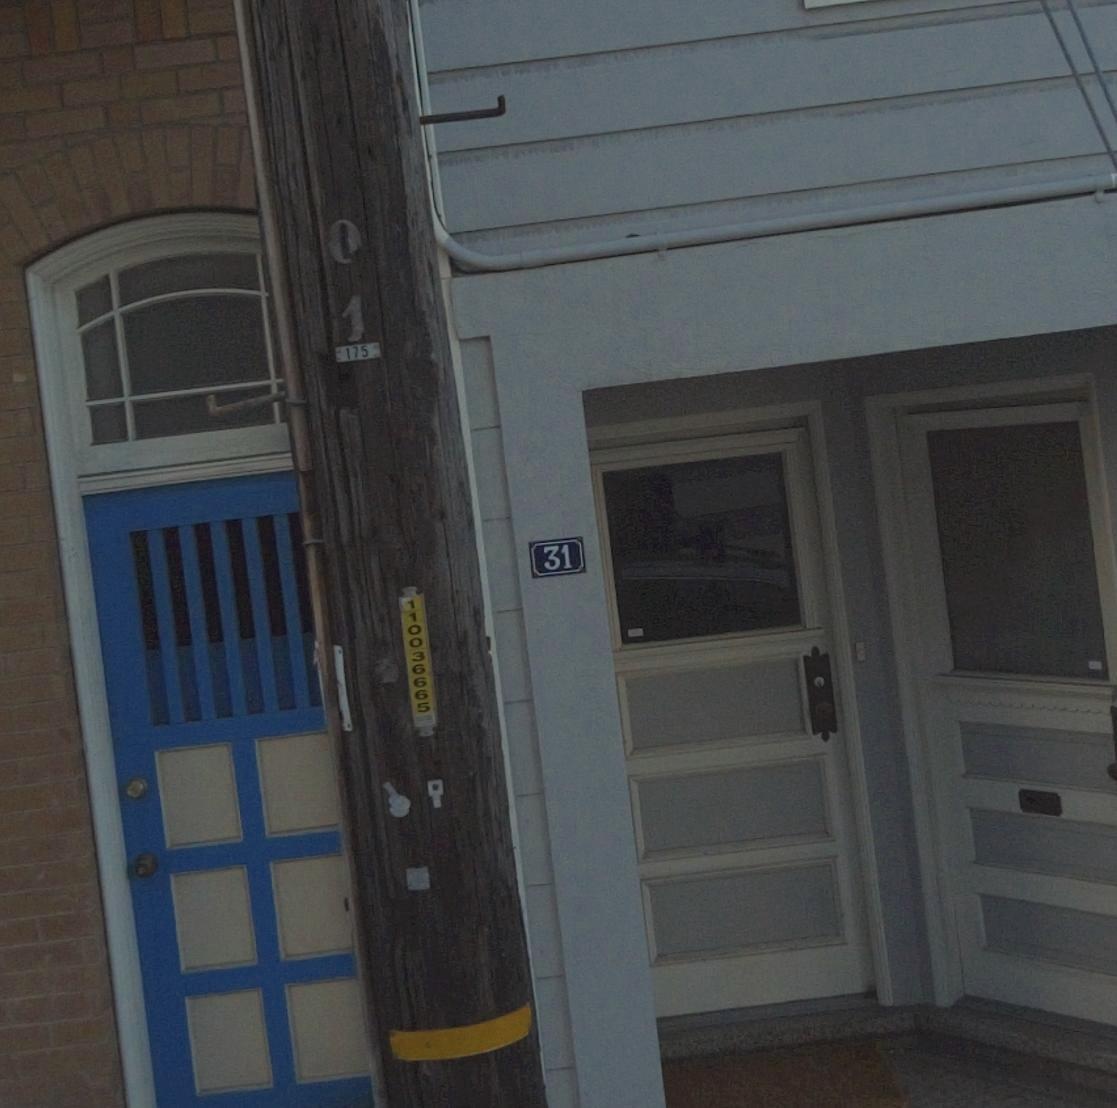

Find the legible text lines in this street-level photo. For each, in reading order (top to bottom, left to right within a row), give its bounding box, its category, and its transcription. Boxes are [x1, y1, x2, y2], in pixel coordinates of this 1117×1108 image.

[321, 213, 377, 346] None: 01
[341, 340, 372, 364] None: 175
[540, 541, 575, 573] StreetNumber: 31
[400, 596, 434, 717] None: 110036665